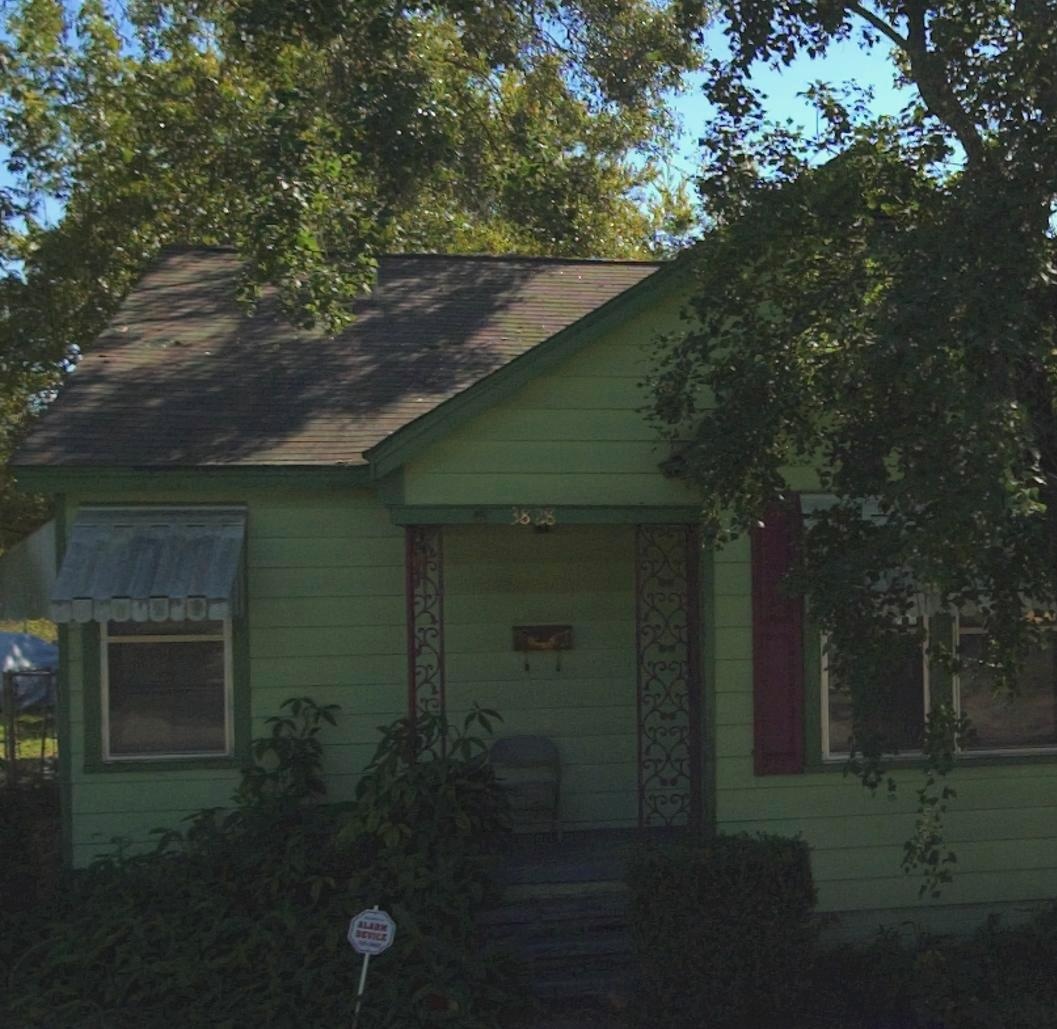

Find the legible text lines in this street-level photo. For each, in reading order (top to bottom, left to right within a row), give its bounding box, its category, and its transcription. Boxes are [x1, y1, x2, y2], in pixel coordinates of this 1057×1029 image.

[508, 505, 557, 527] StreetNumber: 3828
[355, 919, 390, 933] None: ALARM
[354, 928, 388, 943] None: DEVICE